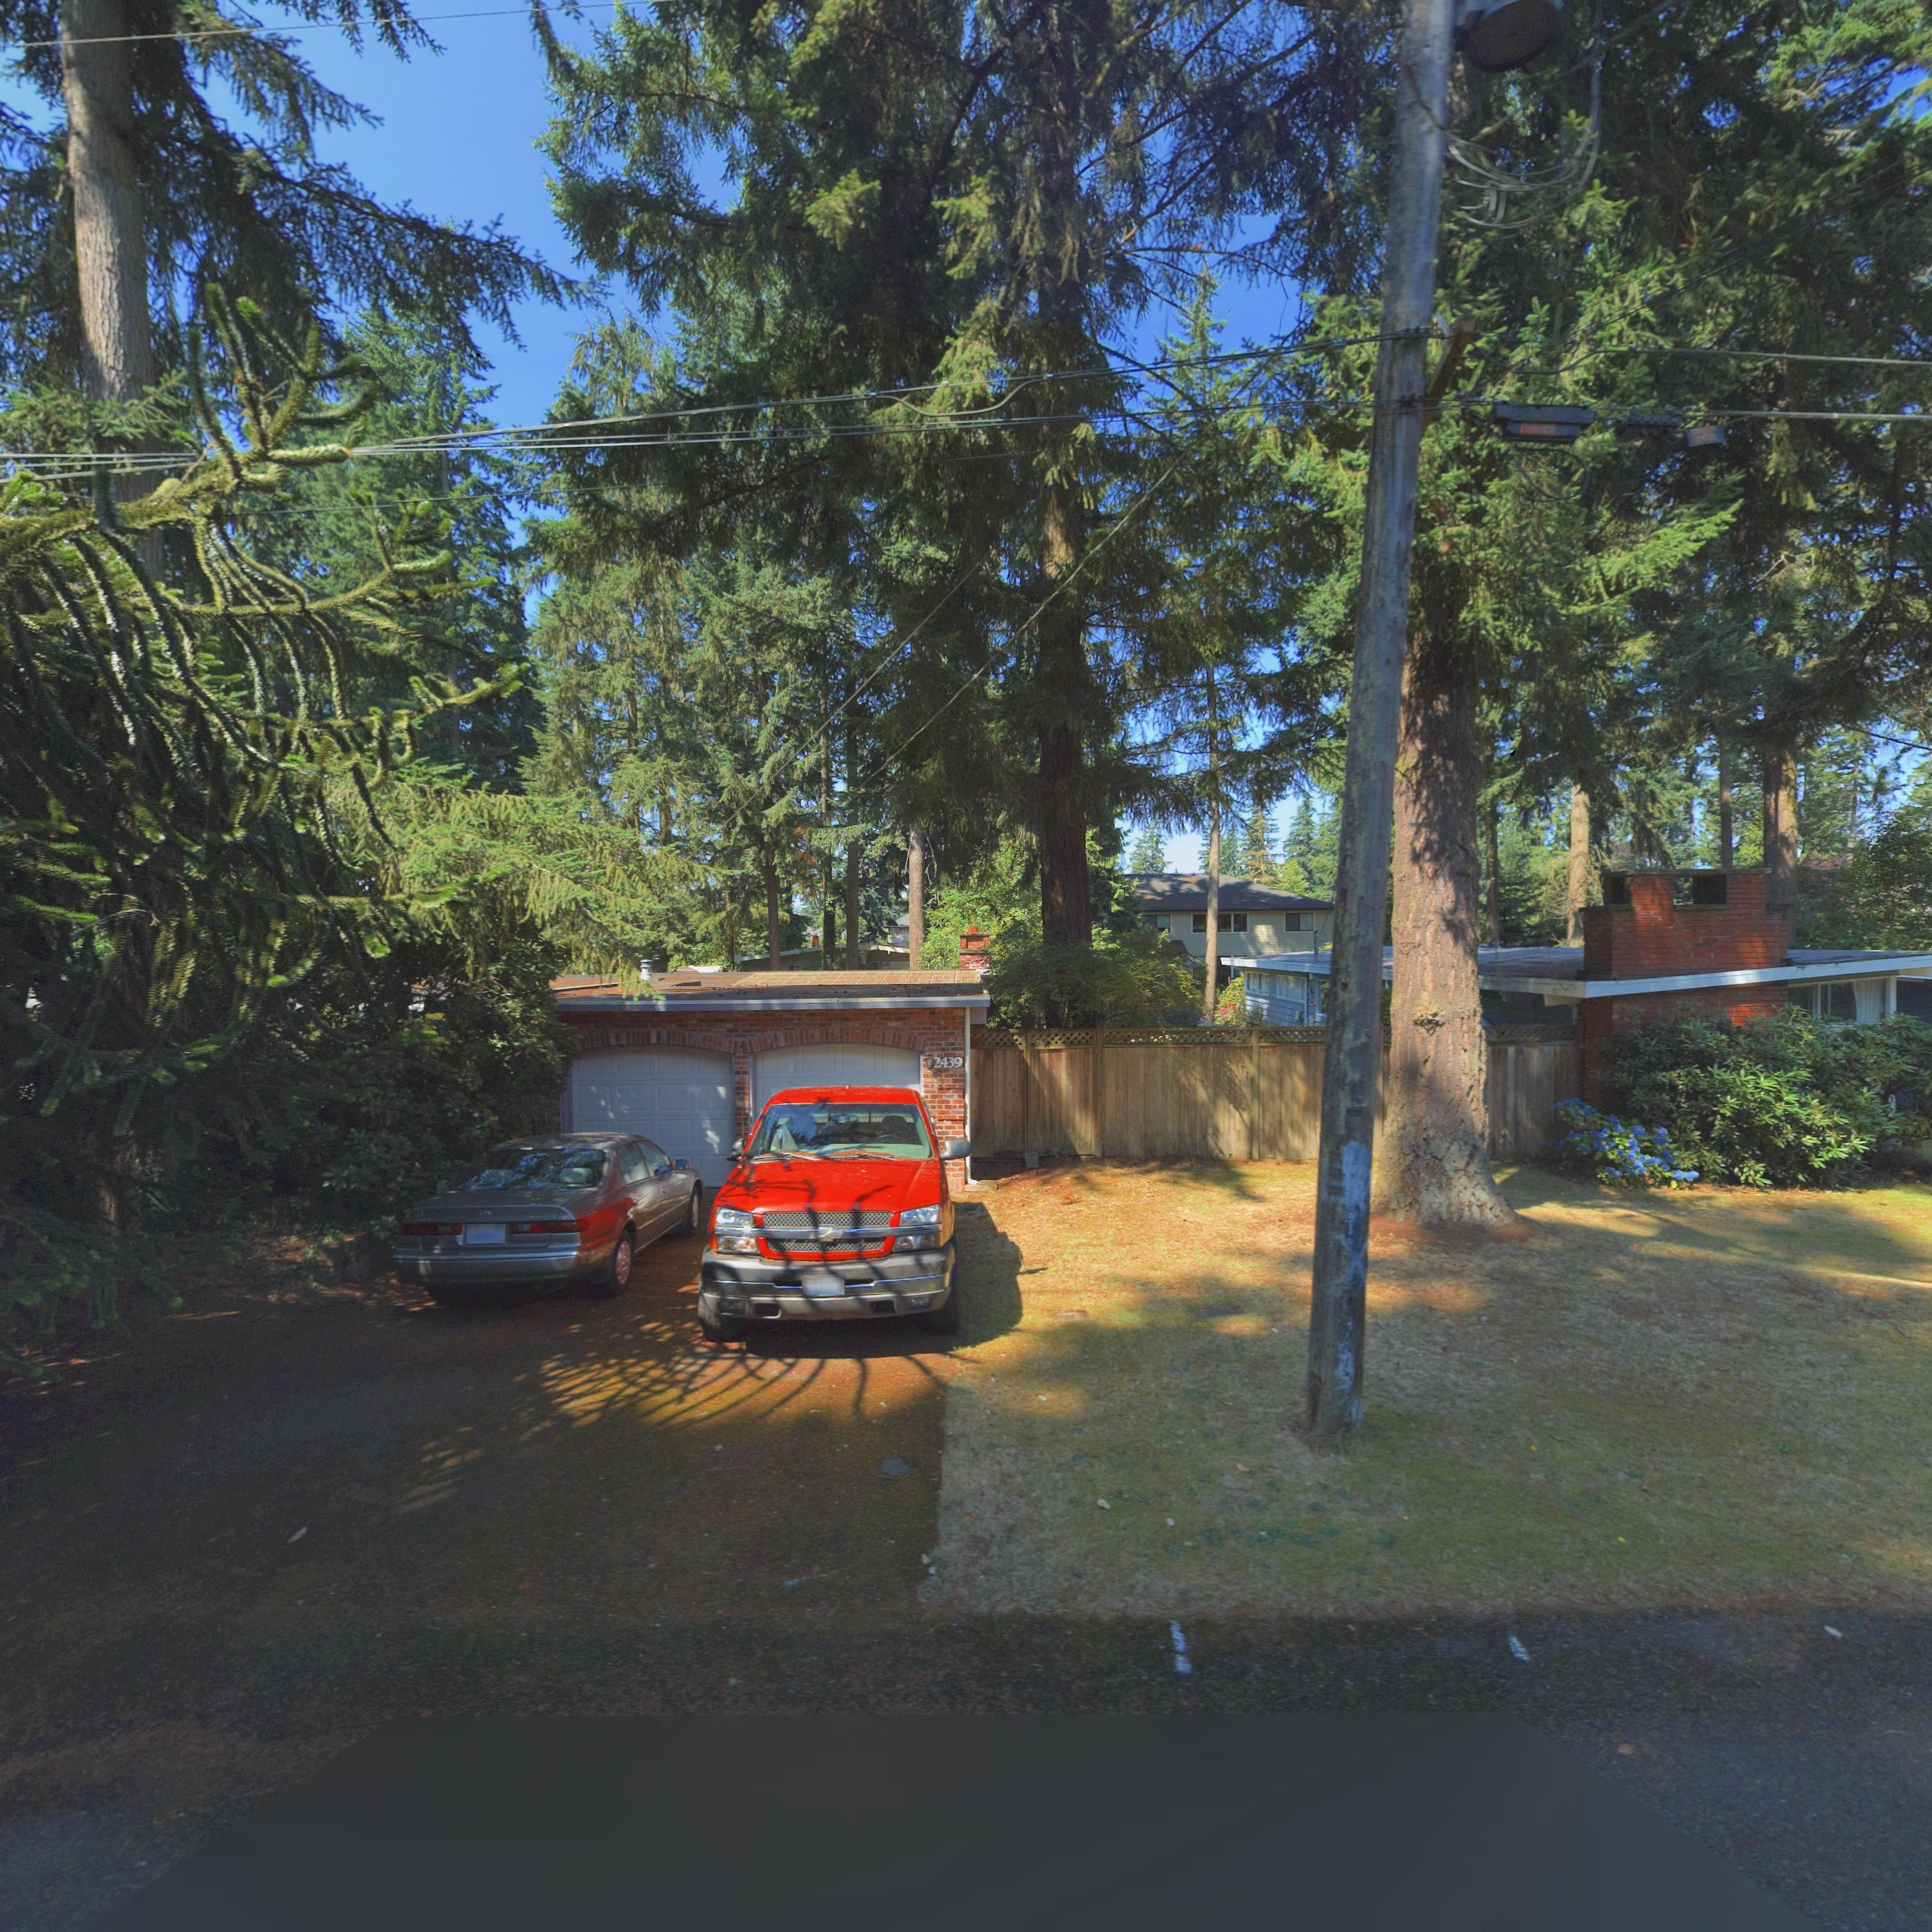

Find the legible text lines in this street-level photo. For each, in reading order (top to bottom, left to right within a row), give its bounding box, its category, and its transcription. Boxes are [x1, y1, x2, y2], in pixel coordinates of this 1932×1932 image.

[932, 1055, 965, 1069] StreetNumber: 2439